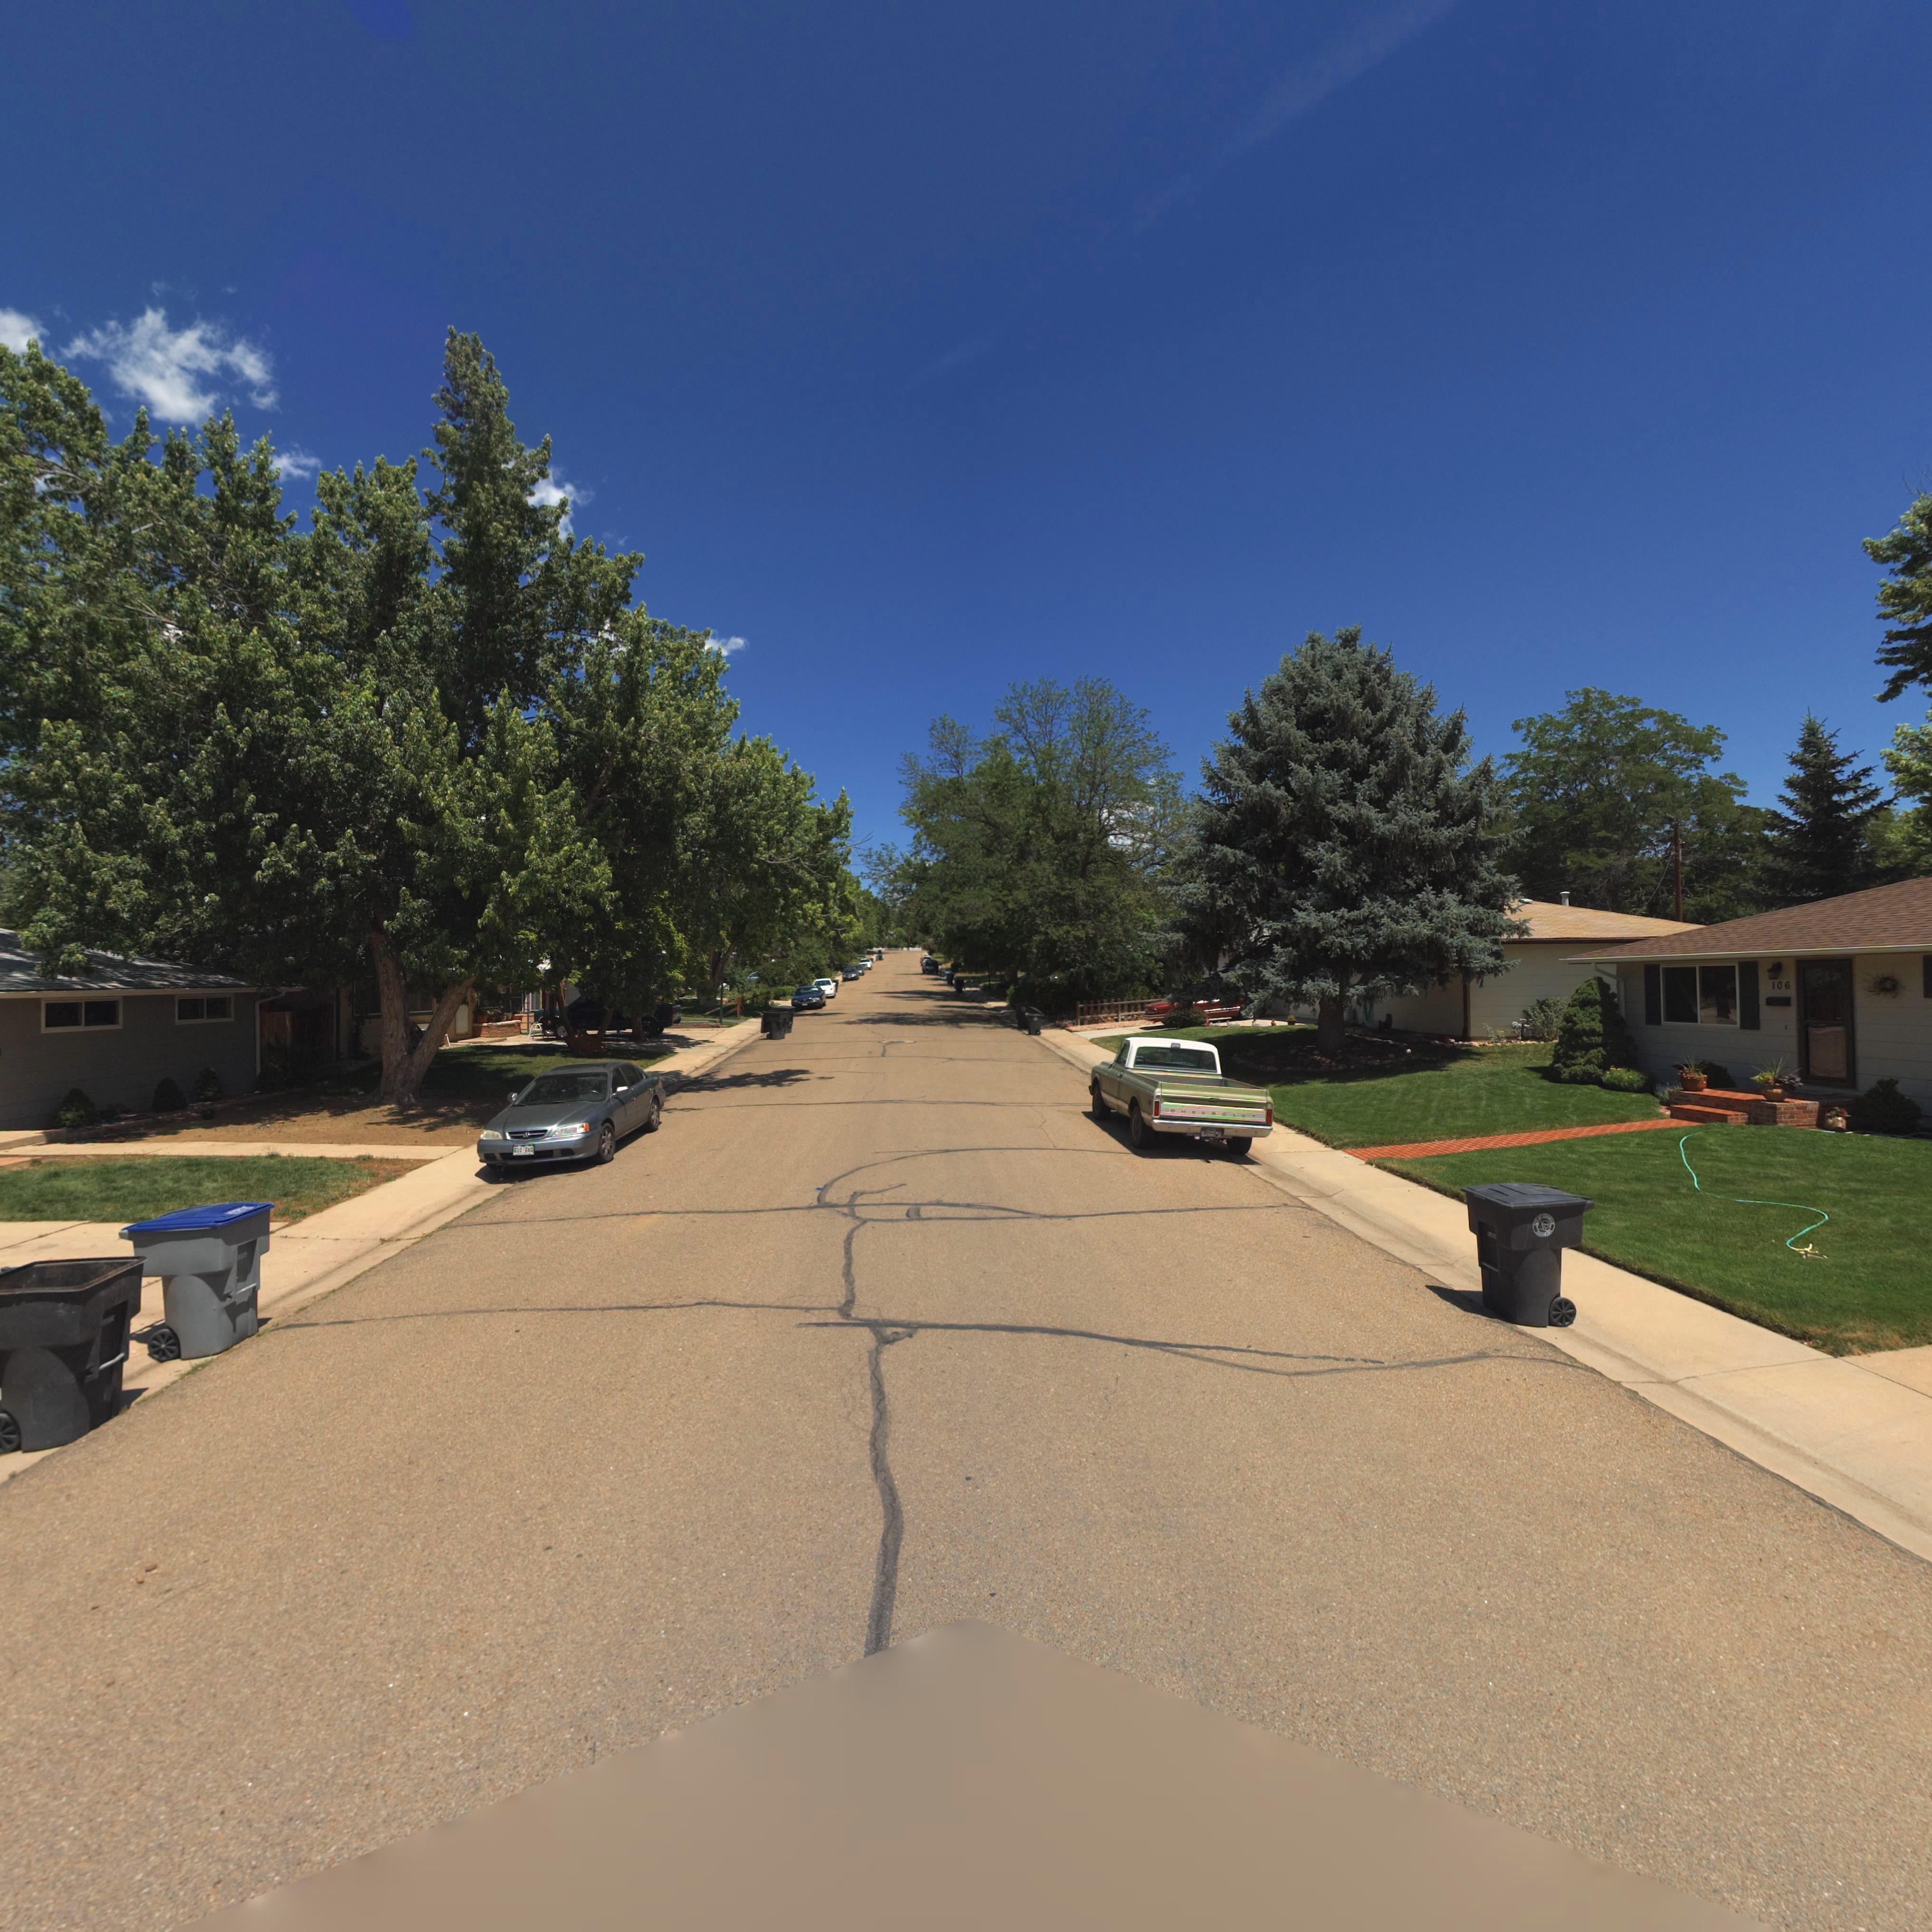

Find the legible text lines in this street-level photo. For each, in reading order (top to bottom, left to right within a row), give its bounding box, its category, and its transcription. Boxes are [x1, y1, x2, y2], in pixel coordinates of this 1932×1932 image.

[1771, 981, 1790, 990] StreetNumber: 106